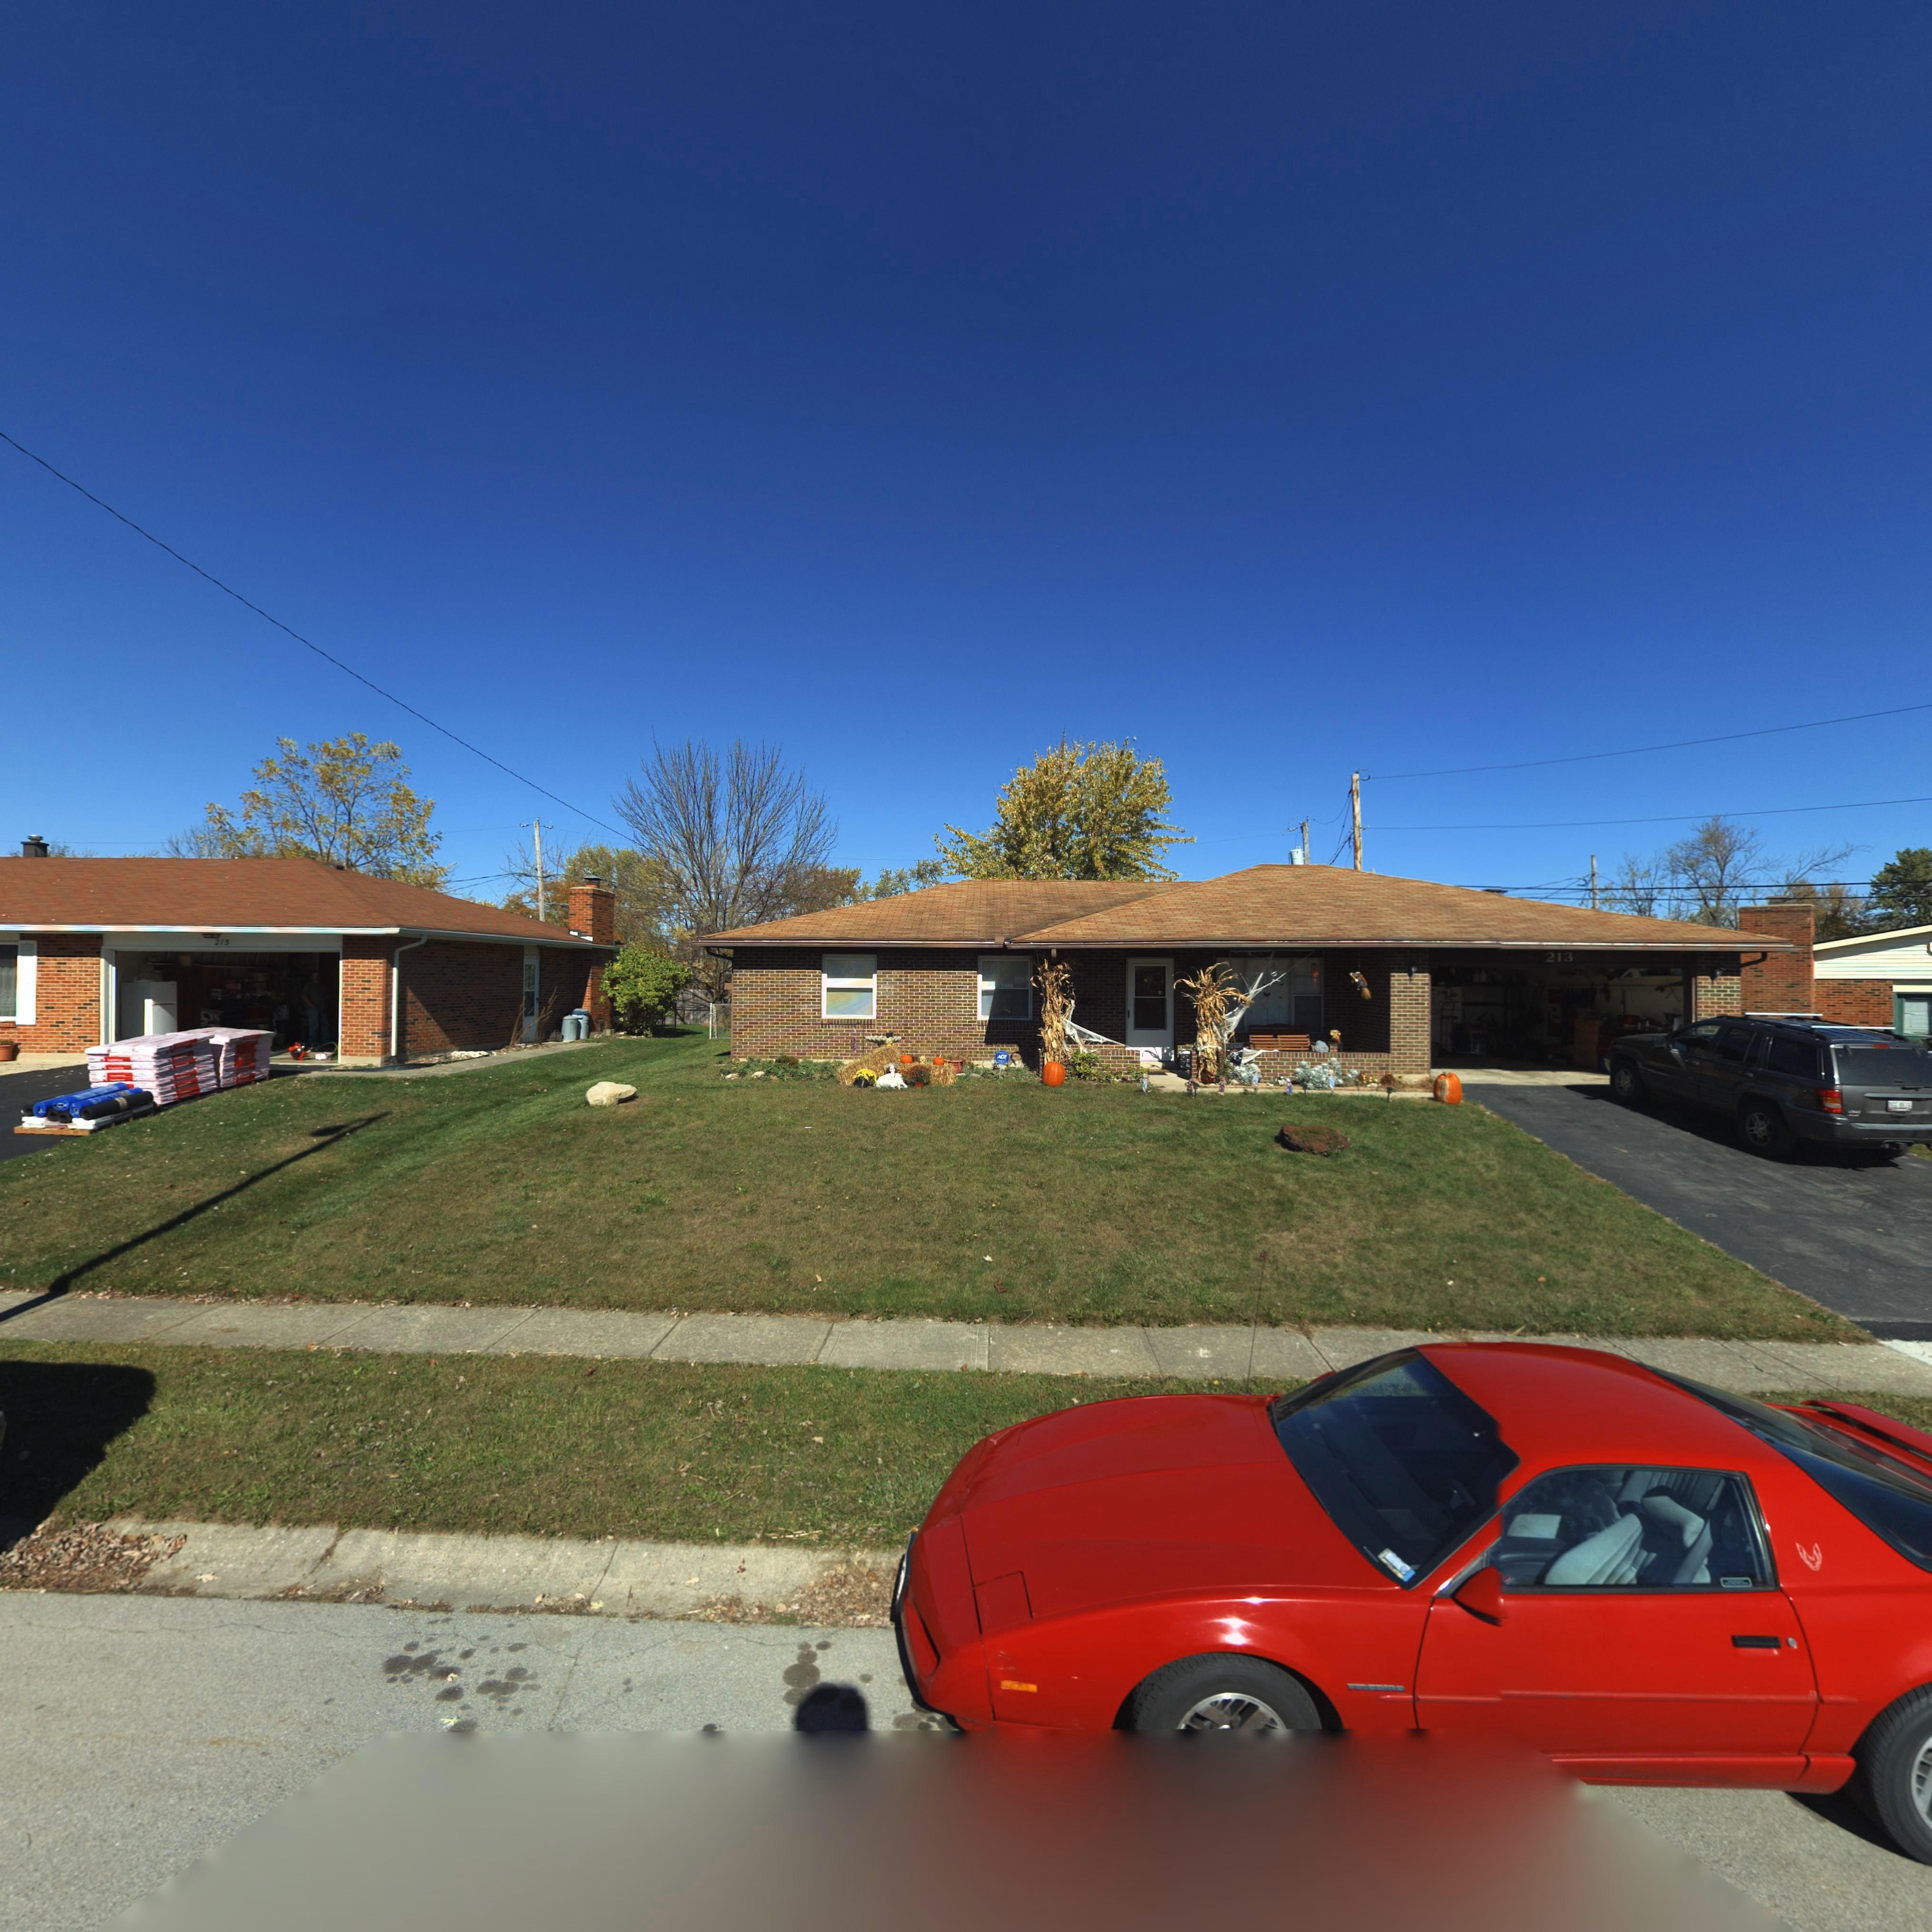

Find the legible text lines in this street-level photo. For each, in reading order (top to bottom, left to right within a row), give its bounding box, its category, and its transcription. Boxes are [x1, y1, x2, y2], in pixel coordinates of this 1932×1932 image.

[214, 938, 230, 945] StreetNumber: 215
[1545, 951, 1574, 963] StreetNumber: 213